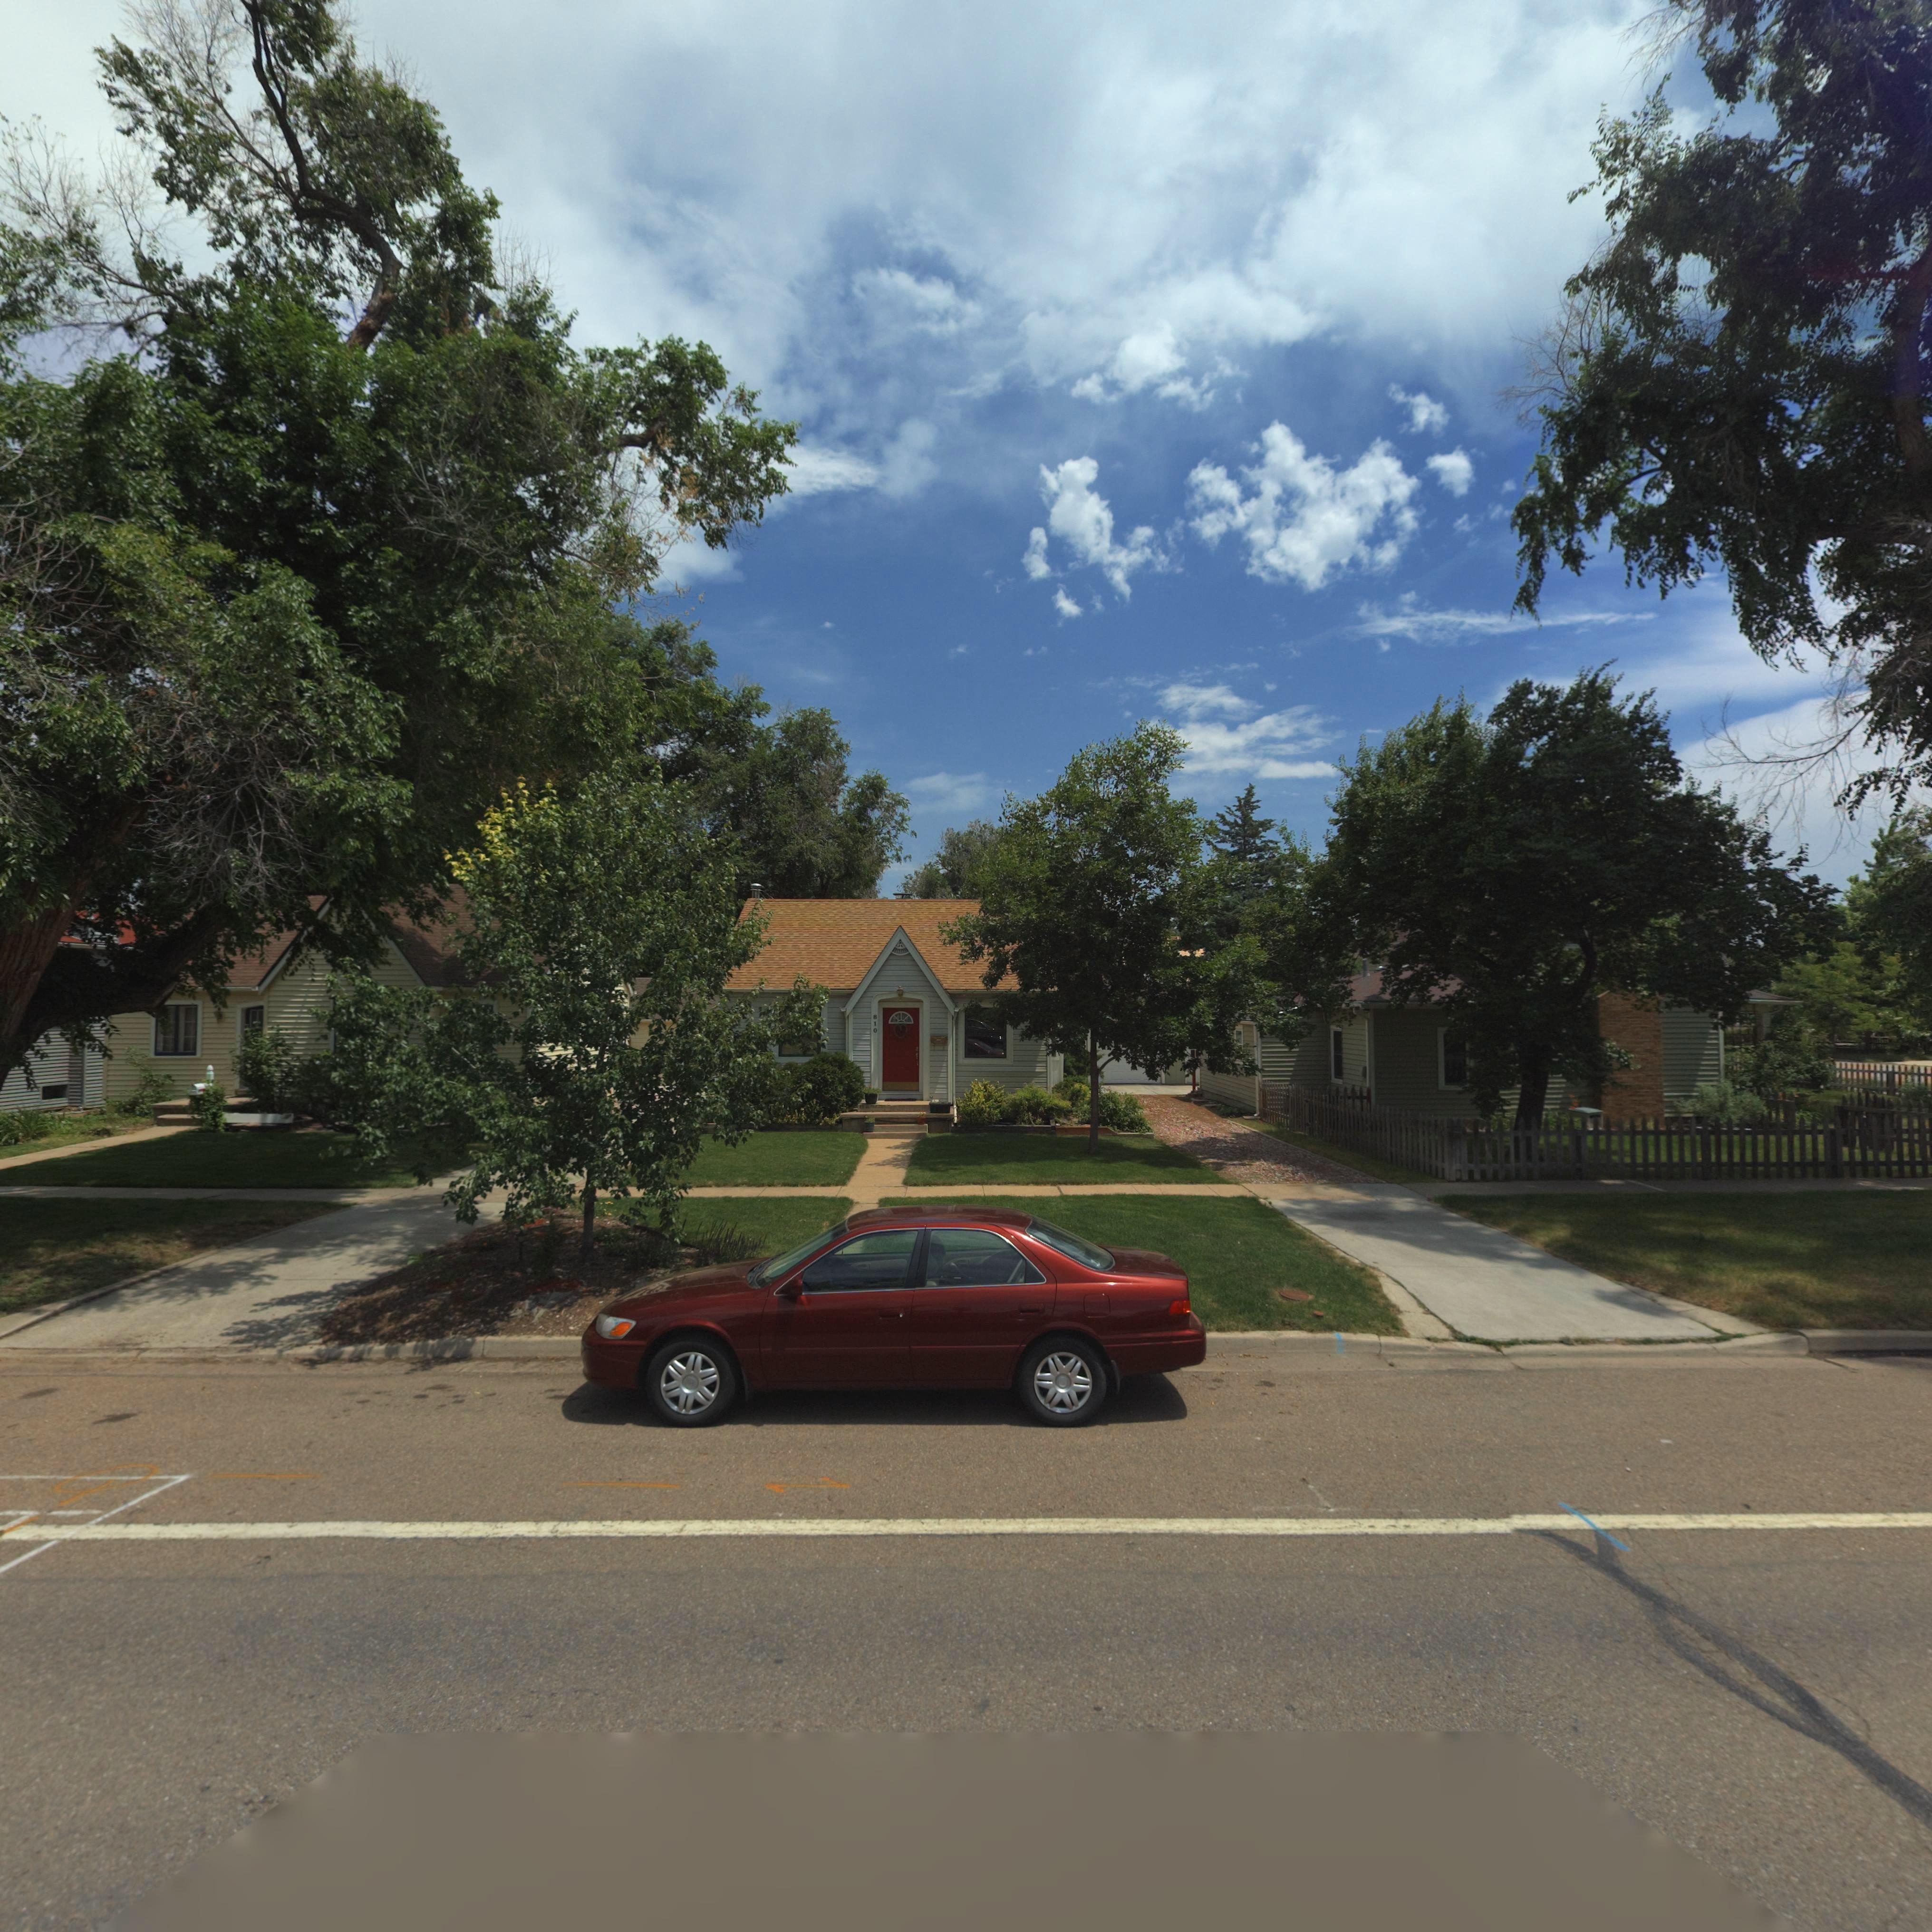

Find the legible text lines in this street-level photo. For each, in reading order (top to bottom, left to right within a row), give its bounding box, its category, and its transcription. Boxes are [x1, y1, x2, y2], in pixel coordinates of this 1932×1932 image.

[873, 1014, 877, 1034] StreetNumber: 810